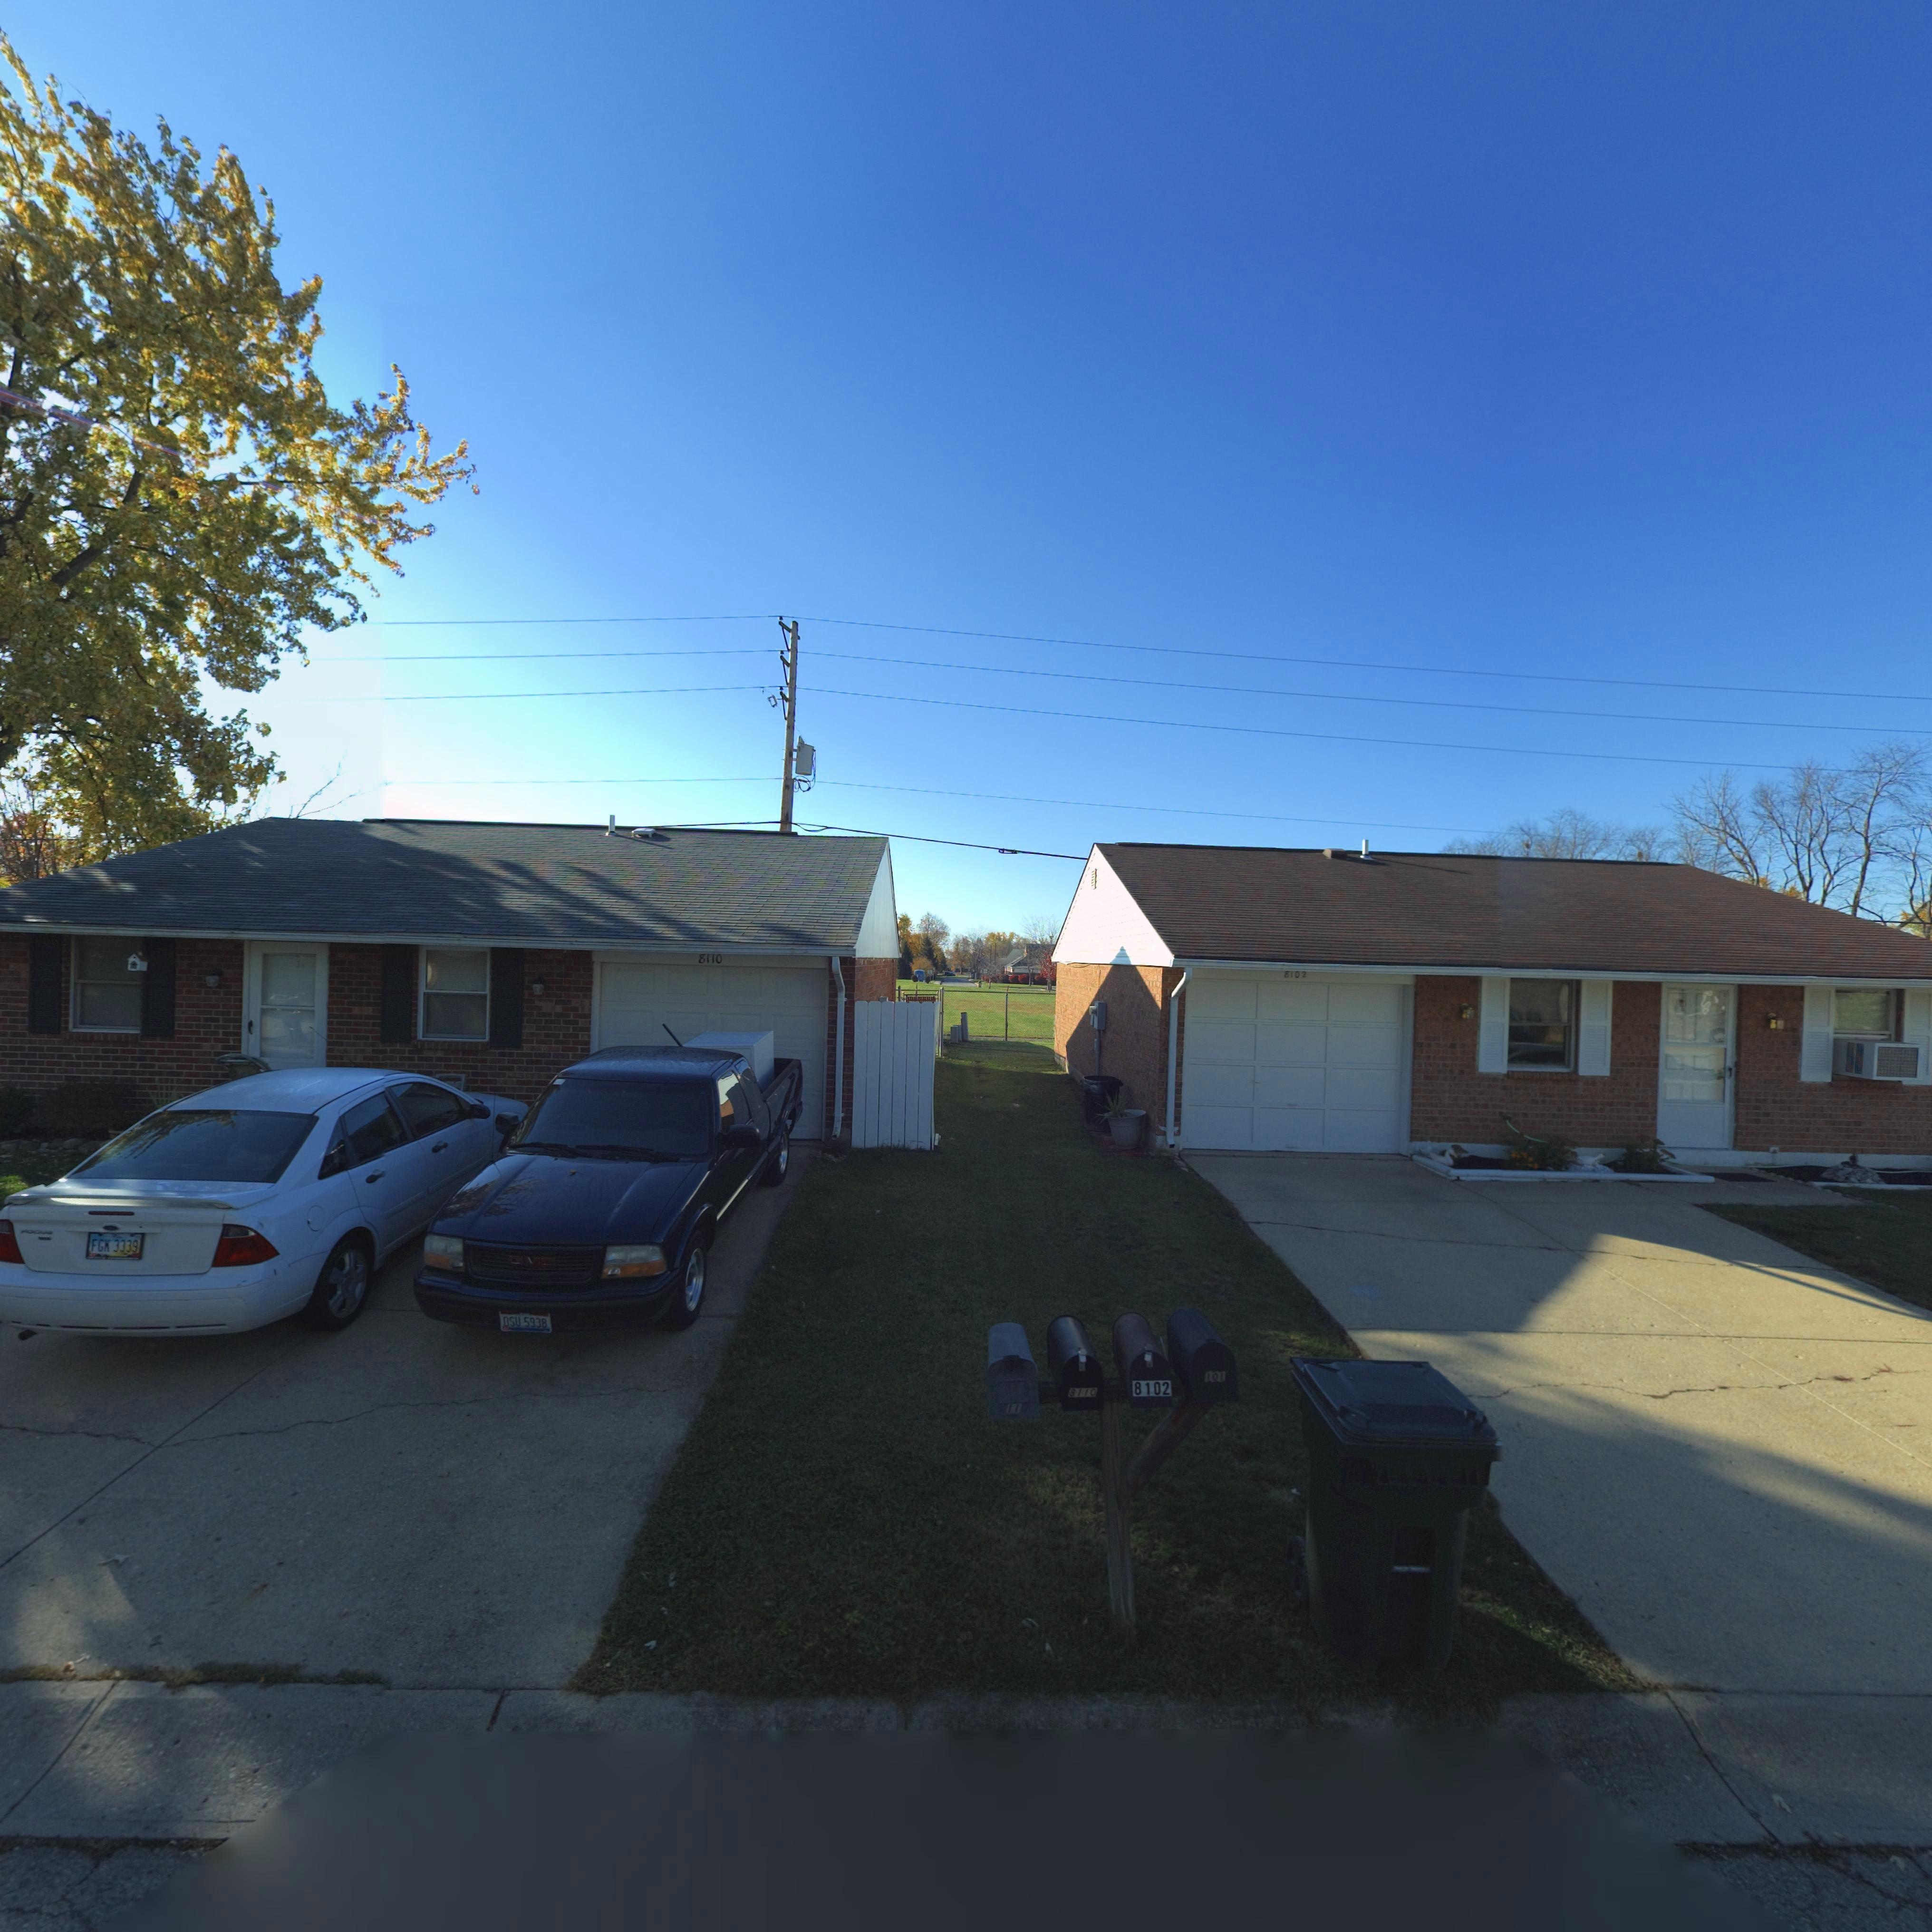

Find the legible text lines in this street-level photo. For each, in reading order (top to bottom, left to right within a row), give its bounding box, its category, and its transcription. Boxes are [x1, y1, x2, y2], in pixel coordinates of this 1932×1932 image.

[697, 953, 724, 965] StreetNumber: 8110
[1283, 970, 1308, 980] StreetNumber: 8102
[1205, 1371, 1226, 1383] StreetNumber: 101
[1068, 1388, 1097, 1398] StreetNumber: 8110
[1133, 1380, 1171, 1397] StreetNumber: 8102
[1006, 1403, 1021, 1414] StreetNumber: 11